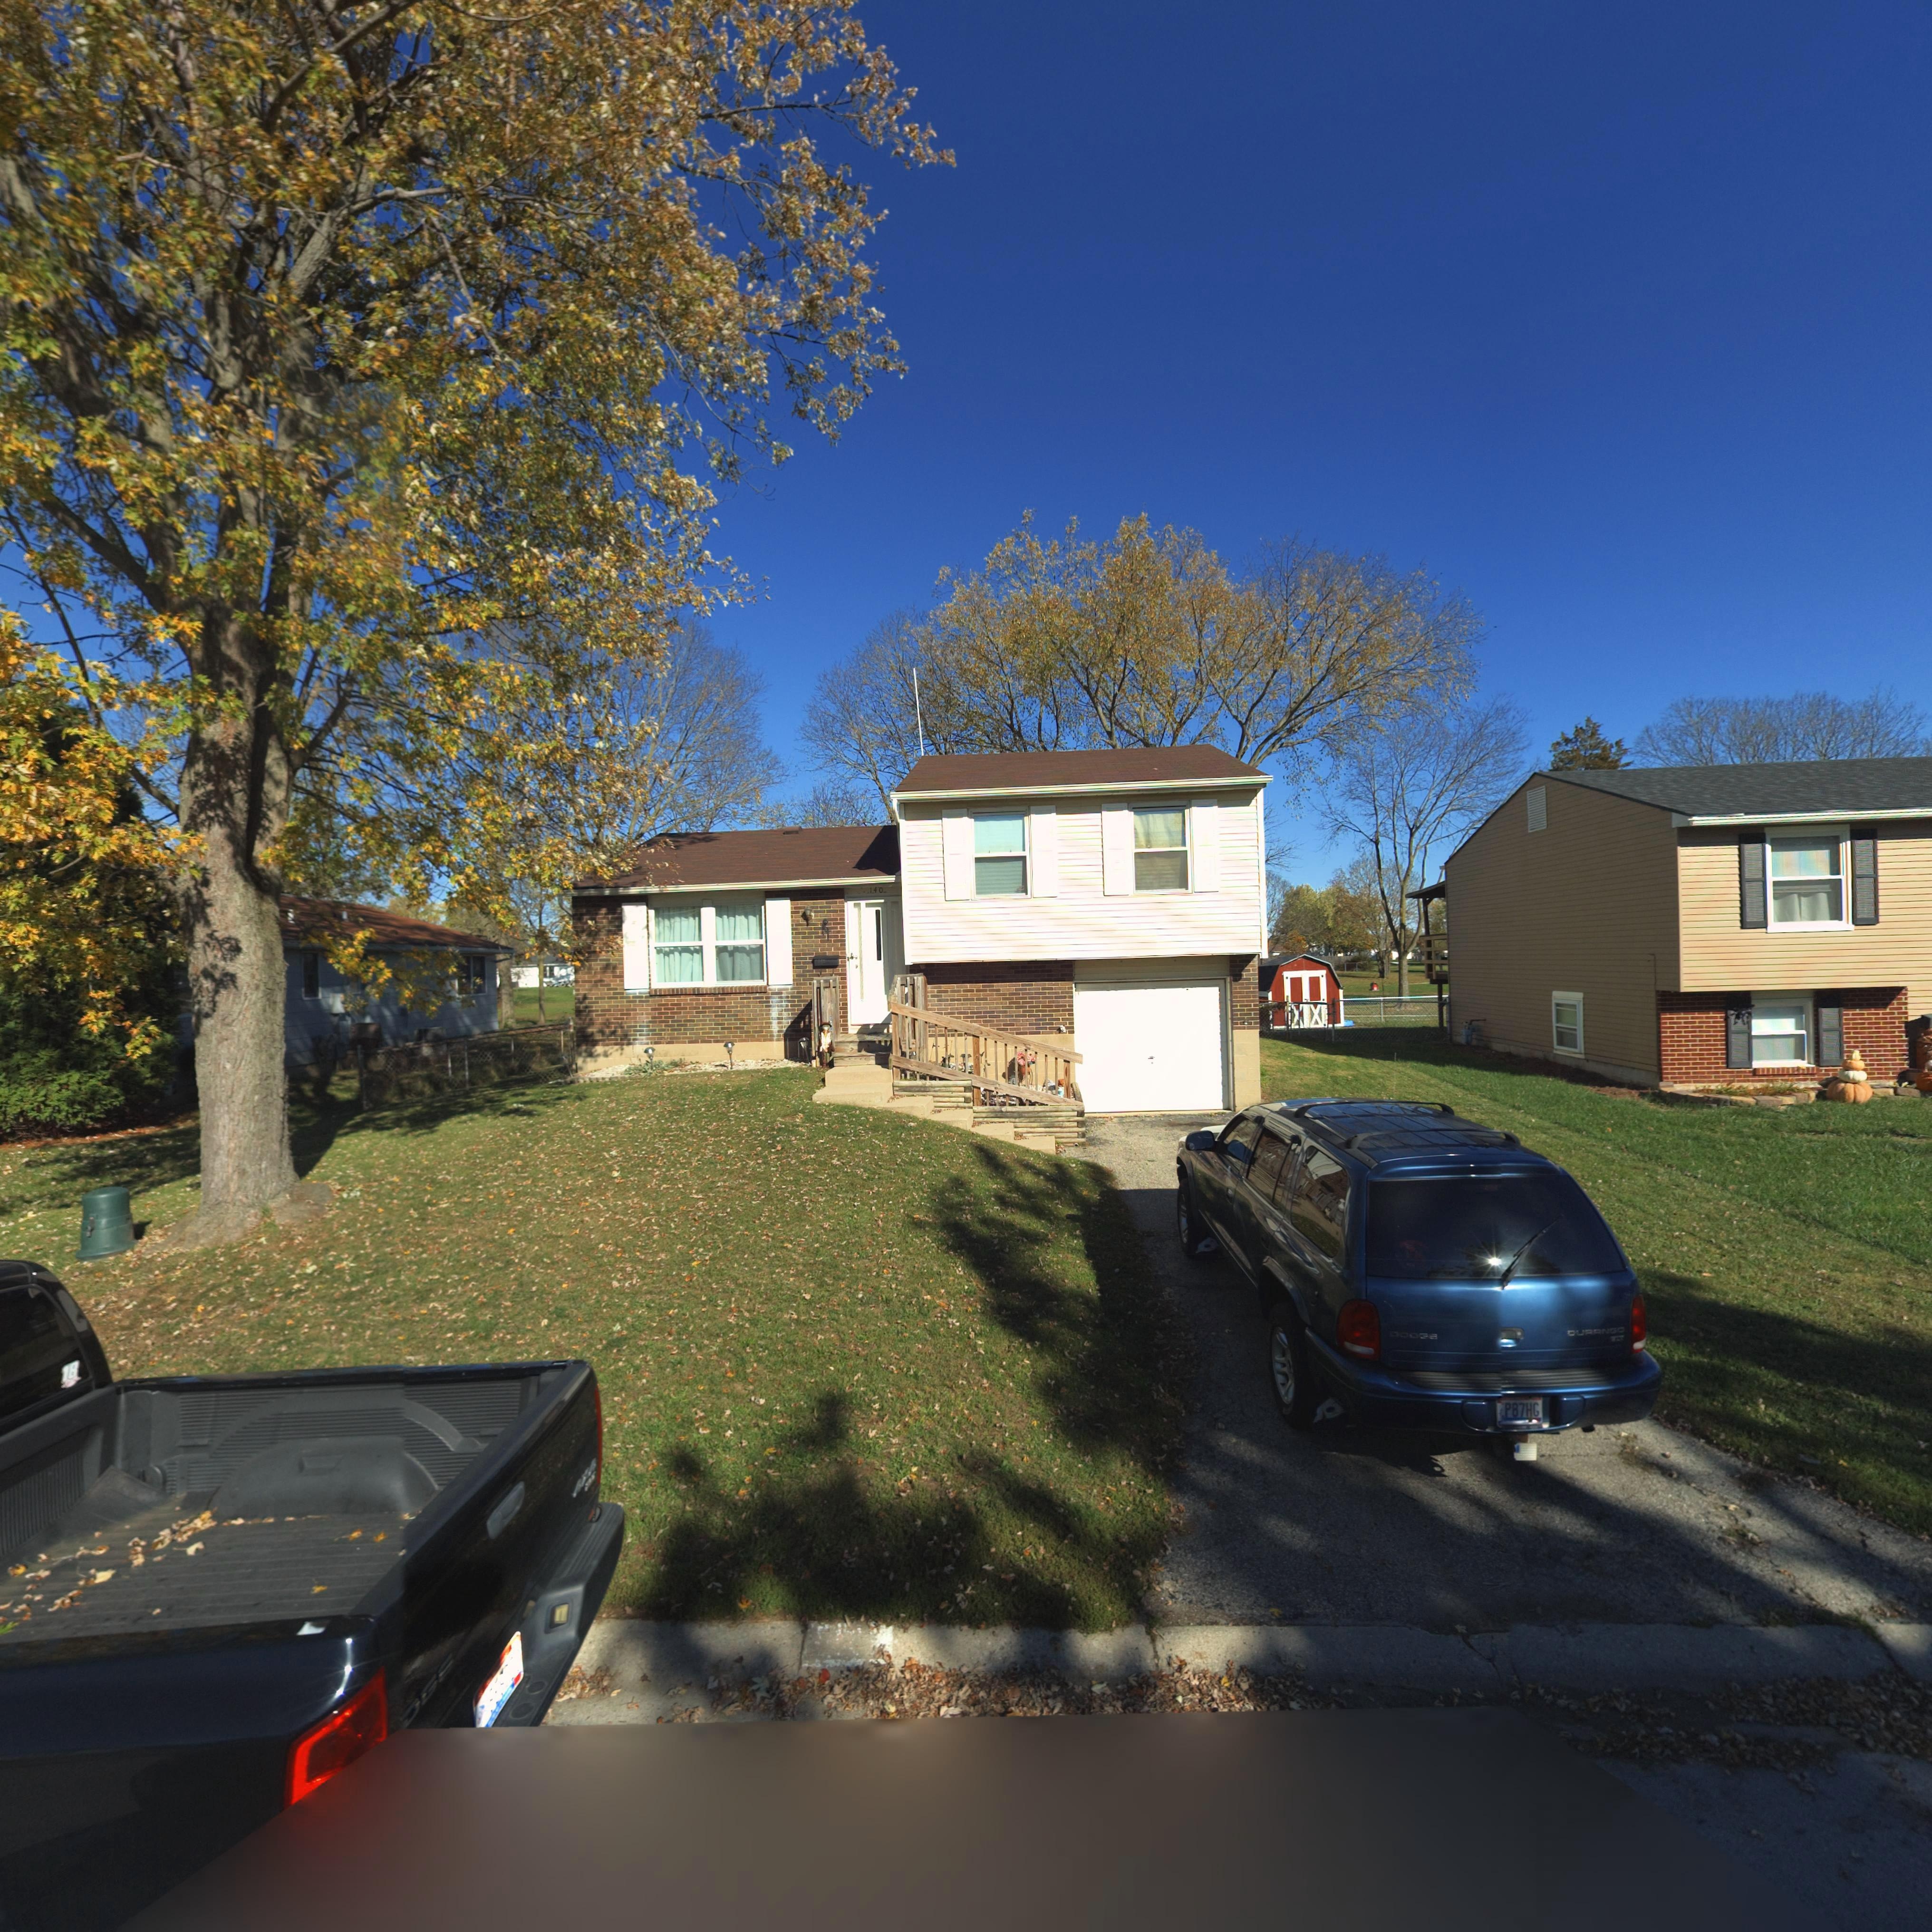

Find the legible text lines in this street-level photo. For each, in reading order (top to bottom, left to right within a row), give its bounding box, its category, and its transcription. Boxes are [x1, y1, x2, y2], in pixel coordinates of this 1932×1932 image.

[869, 886, 884, 894] StreetNumber: 140